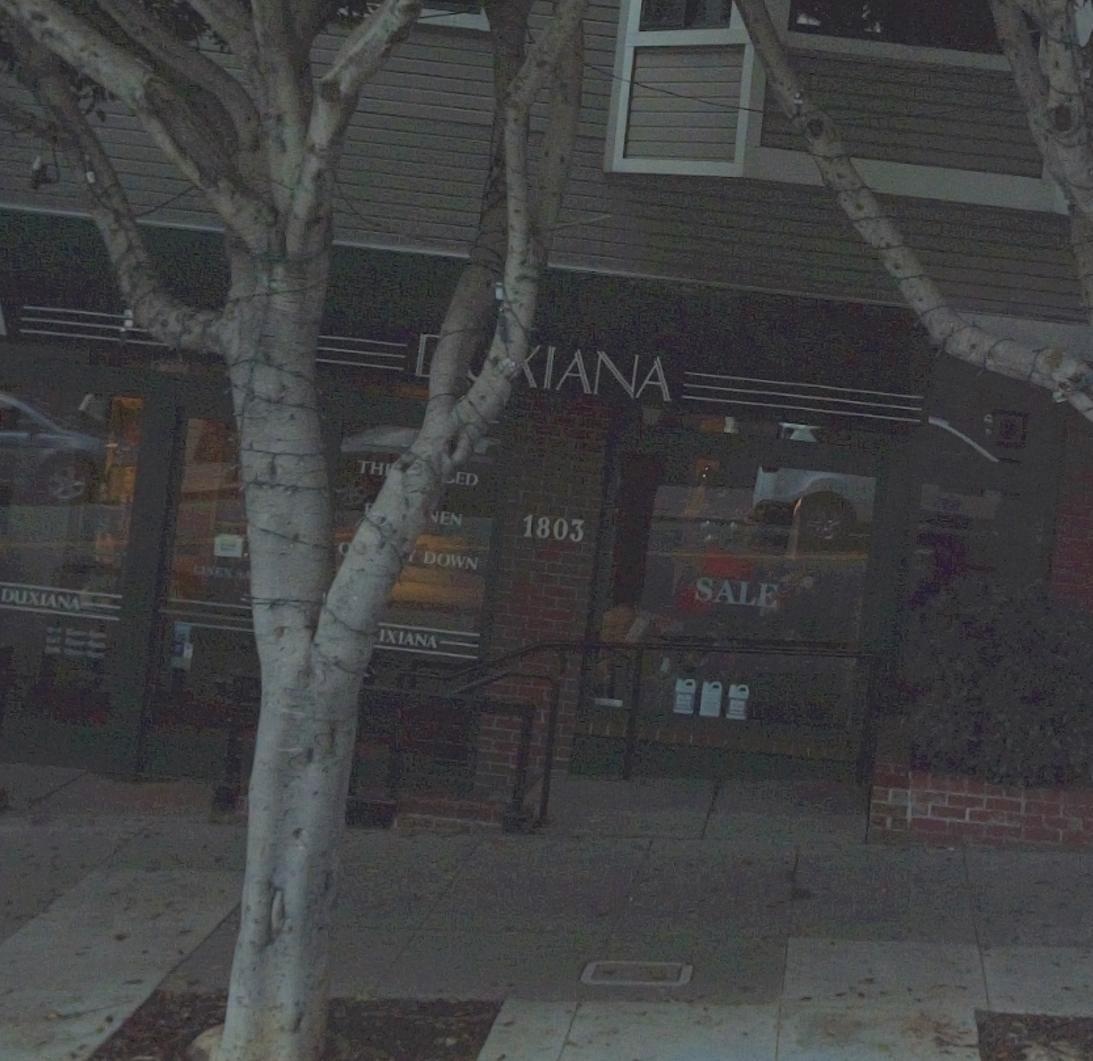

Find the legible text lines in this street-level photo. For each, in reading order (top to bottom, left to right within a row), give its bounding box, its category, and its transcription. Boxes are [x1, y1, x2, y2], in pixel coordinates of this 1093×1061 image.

[540, 342, 677, 405] BusinessName: IANA
[355, 457, 386, 479] None: TH
[452, 468, 482, 489] None: ED
[437, 507, 466, 530] None: EN
[519, 512, 587, 546] StreetNumber: 1803
[421, 549, 481, 572] None: DOWN
[0, 585, 85, 613] BusinessName: DUXIANA
[691, 574, 781, 611] None: SALE
[383, 626, 441, 651] BusinessName: XIANA